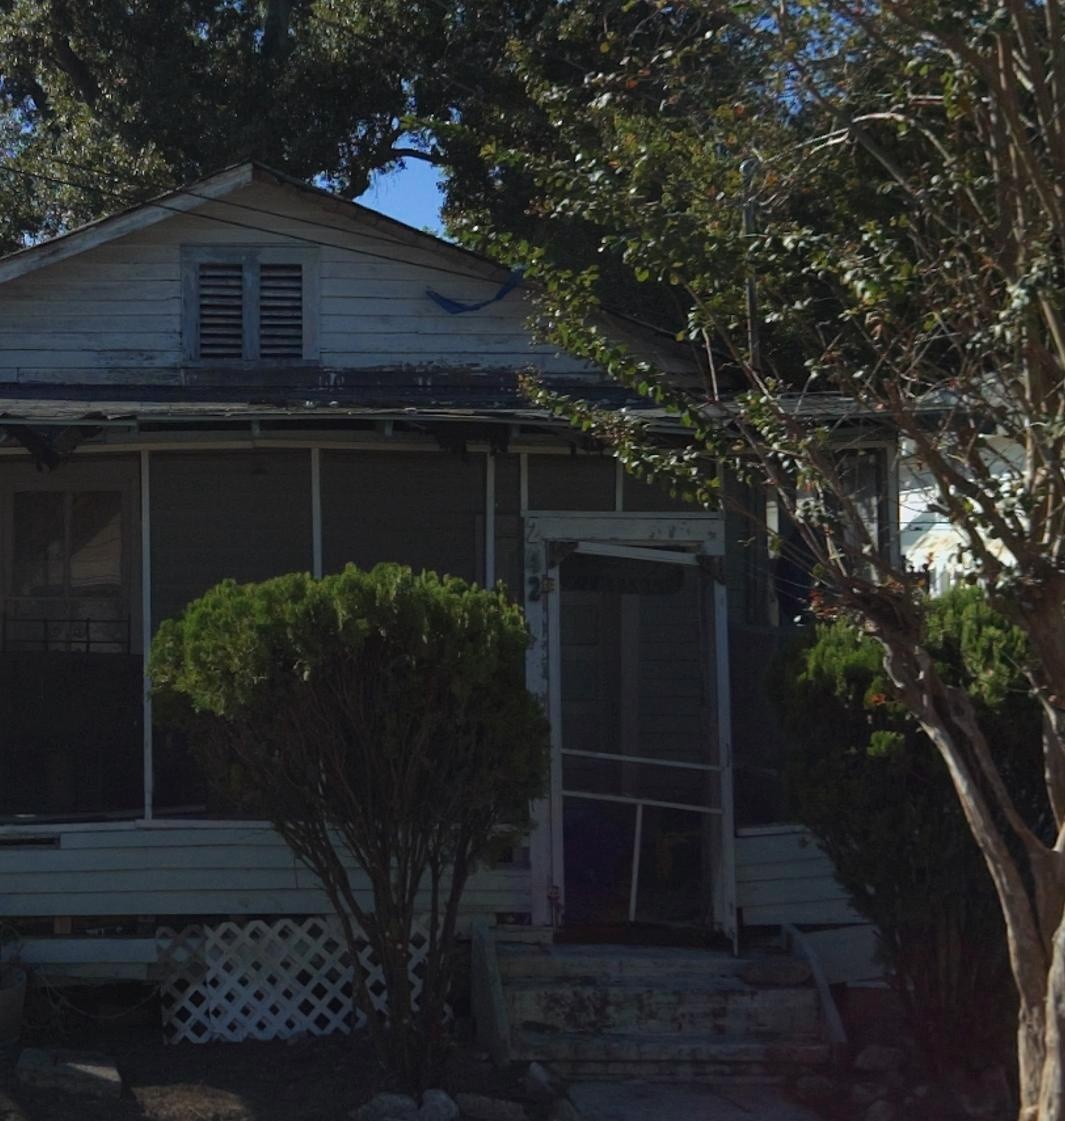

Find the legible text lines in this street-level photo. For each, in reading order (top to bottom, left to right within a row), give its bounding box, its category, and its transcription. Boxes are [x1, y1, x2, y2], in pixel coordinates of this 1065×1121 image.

[523, 514, 544, 605] StreetNumber: 242